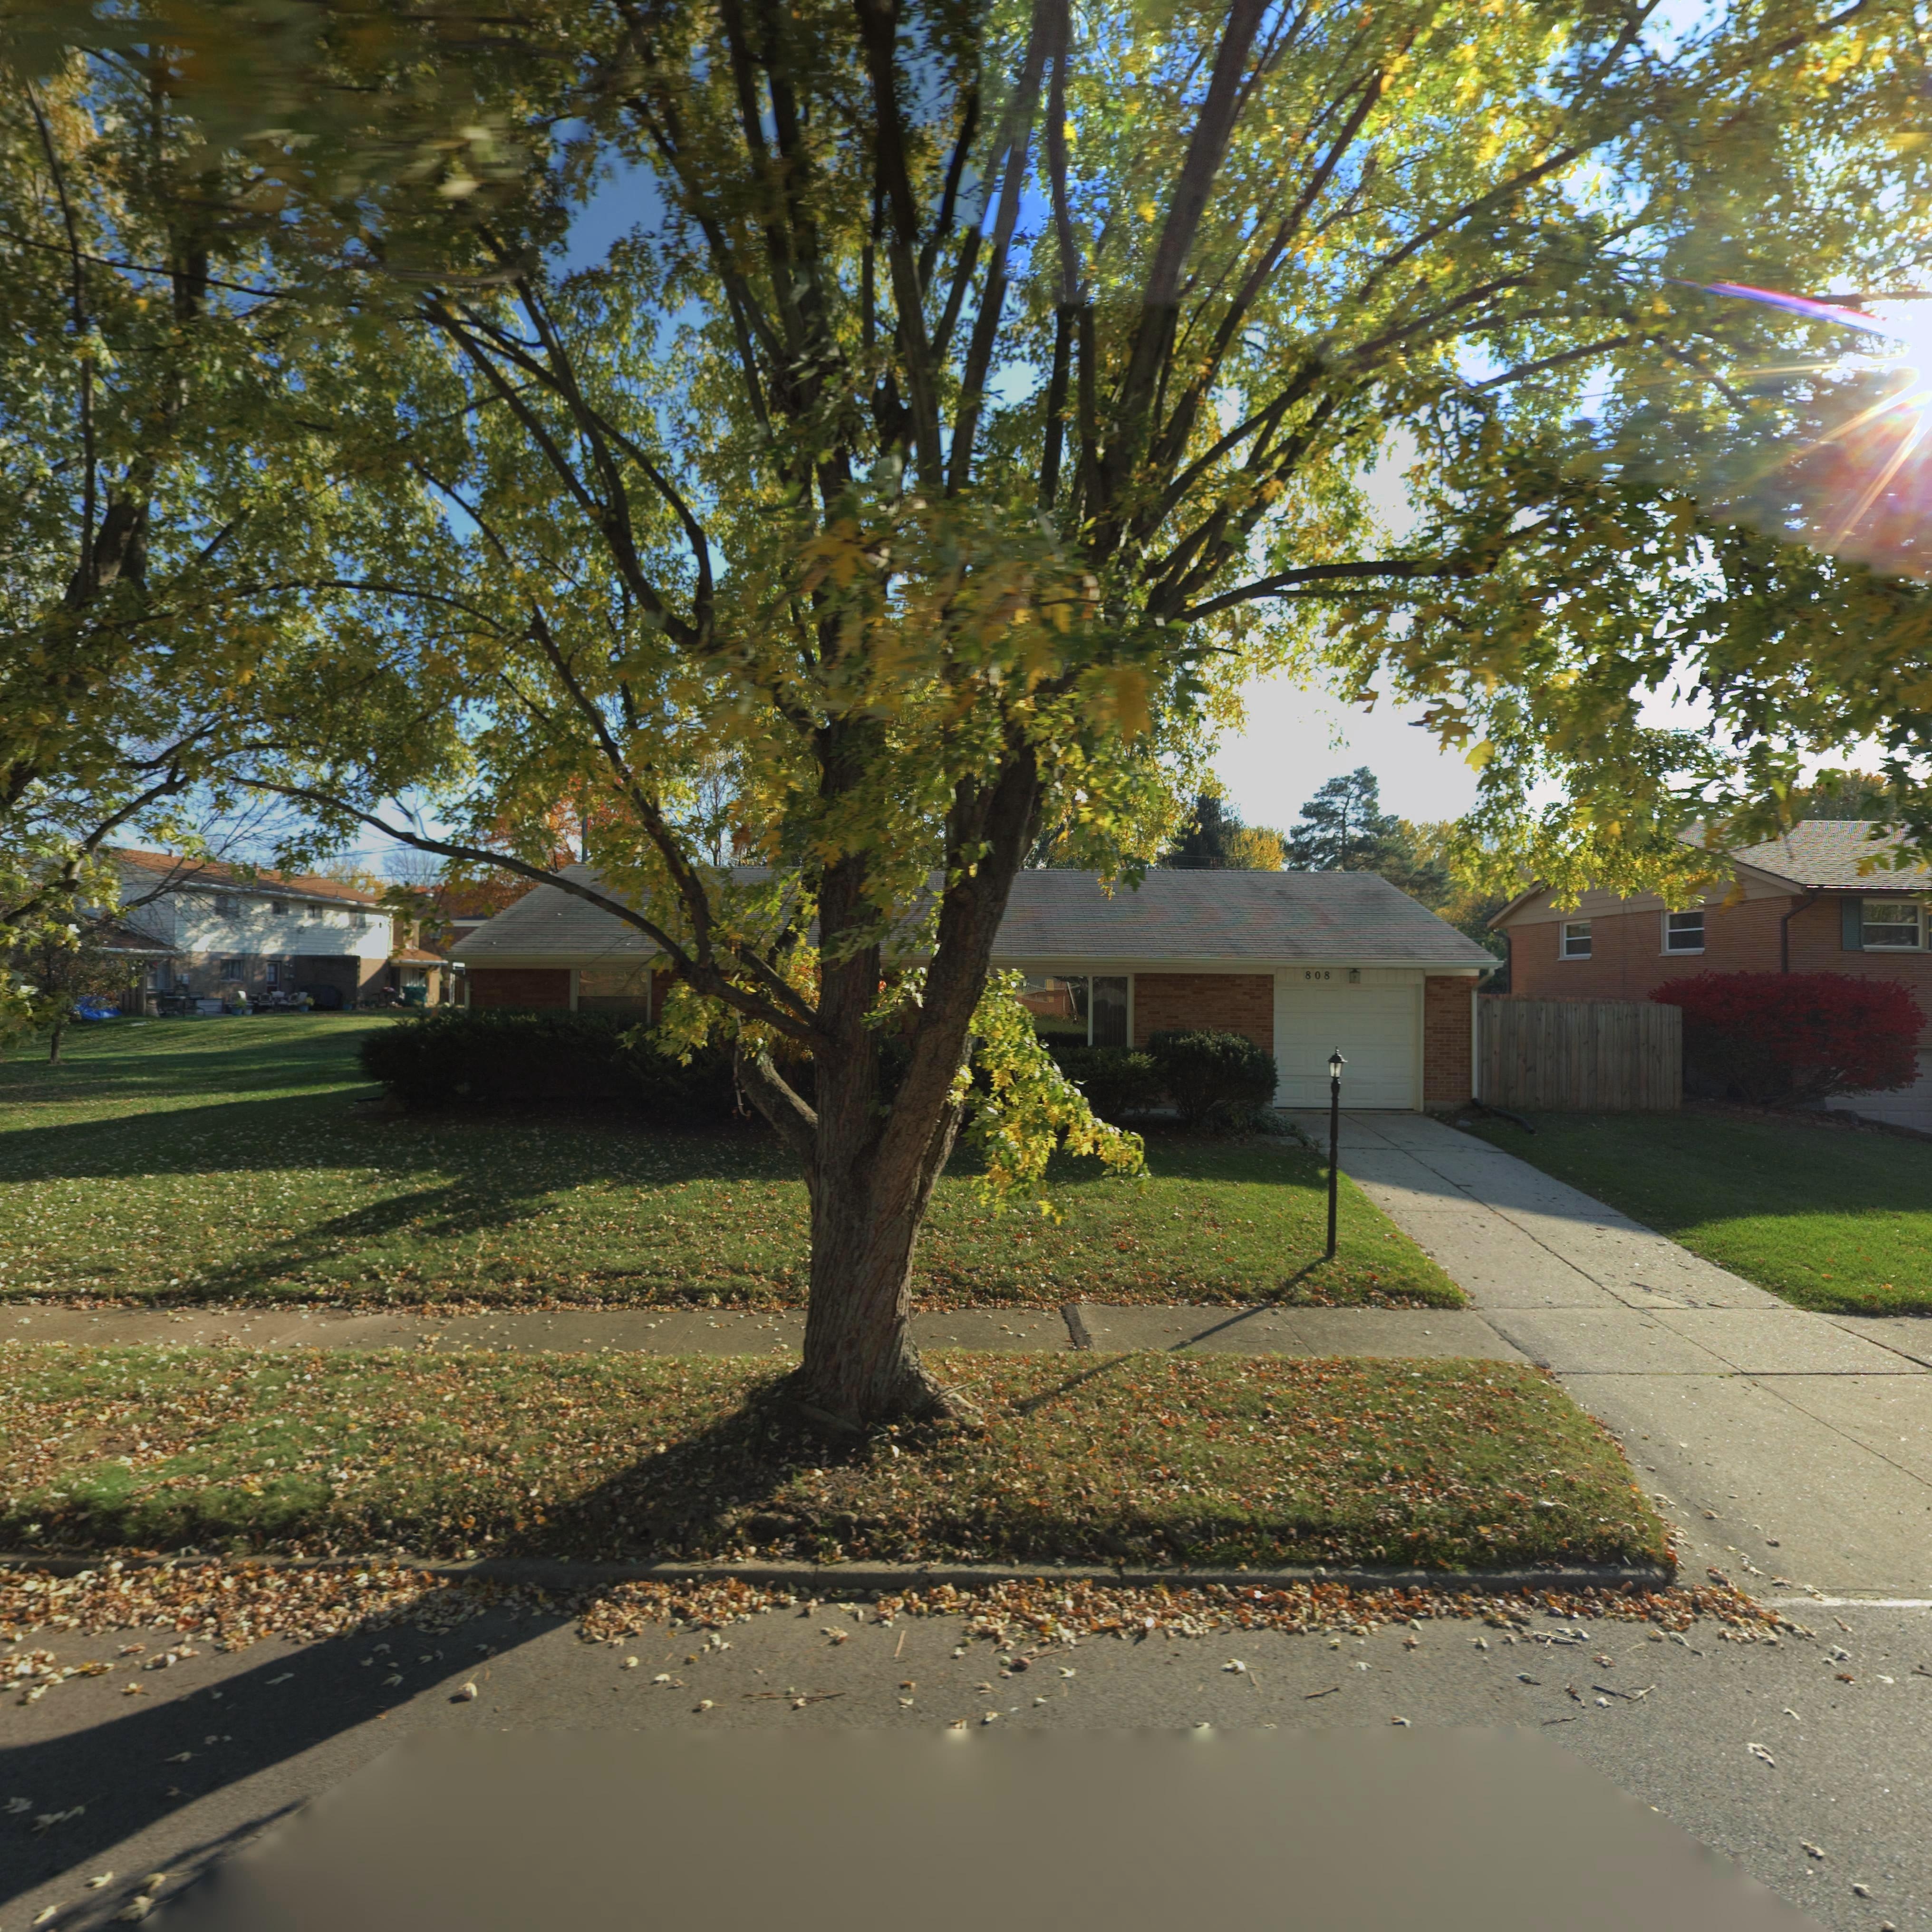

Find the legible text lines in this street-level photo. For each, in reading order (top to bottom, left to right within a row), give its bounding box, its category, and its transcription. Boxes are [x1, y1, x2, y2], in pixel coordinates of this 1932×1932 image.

[1304, 970, 1330, 979] StreetNumber: 808